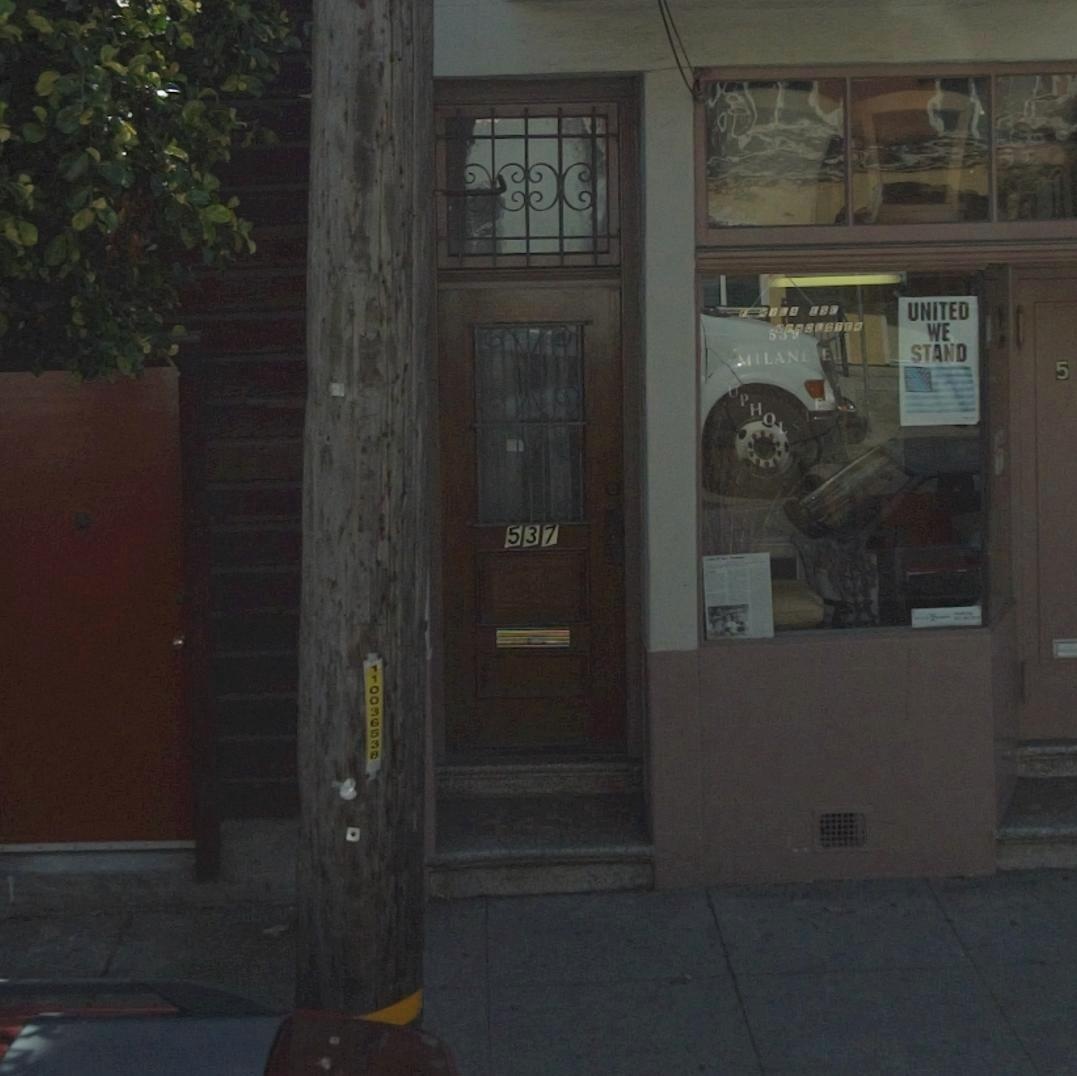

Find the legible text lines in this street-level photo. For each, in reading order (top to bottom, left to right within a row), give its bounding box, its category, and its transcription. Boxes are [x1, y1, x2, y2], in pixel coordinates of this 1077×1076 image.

[906, 299, 973, 323] None: UNITED
[767, 326, 802, 343] None: 5**
[923, 320, 952, 343] None: WE
[736, 344, 834, 368] None: MILAN**E
[908, 341, 970, 365] None: STRAND
[726, 383, 825, 438] None: UPHOLSTE
[506, 523, 561, 547] StreetNumber: 537
[367, 662, 381, 763] None: 1100036*3*